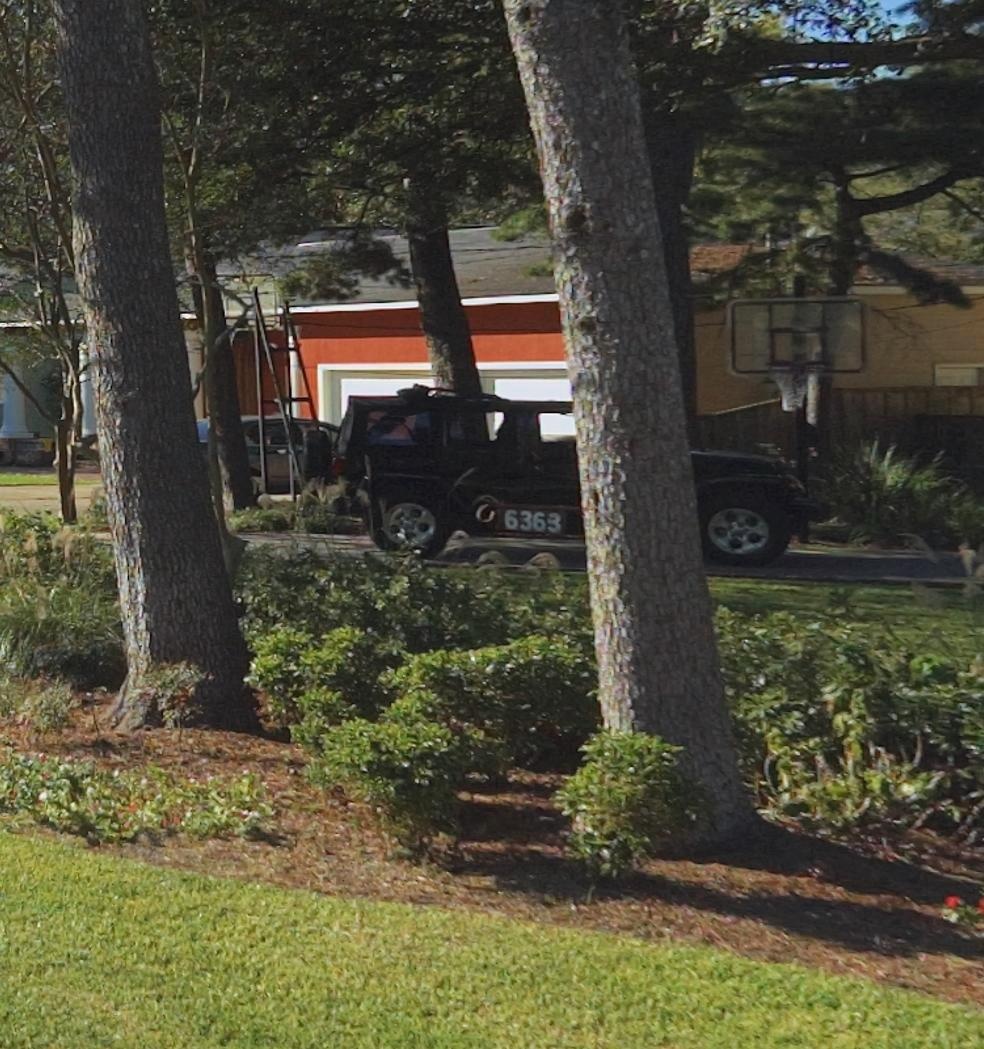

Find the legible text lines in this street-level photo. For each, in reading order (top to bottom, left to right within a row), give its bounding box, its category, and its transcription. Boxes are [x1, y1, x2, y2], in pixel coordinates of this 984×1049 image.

[503, 507, 563, 535] StreetNumber: 6363